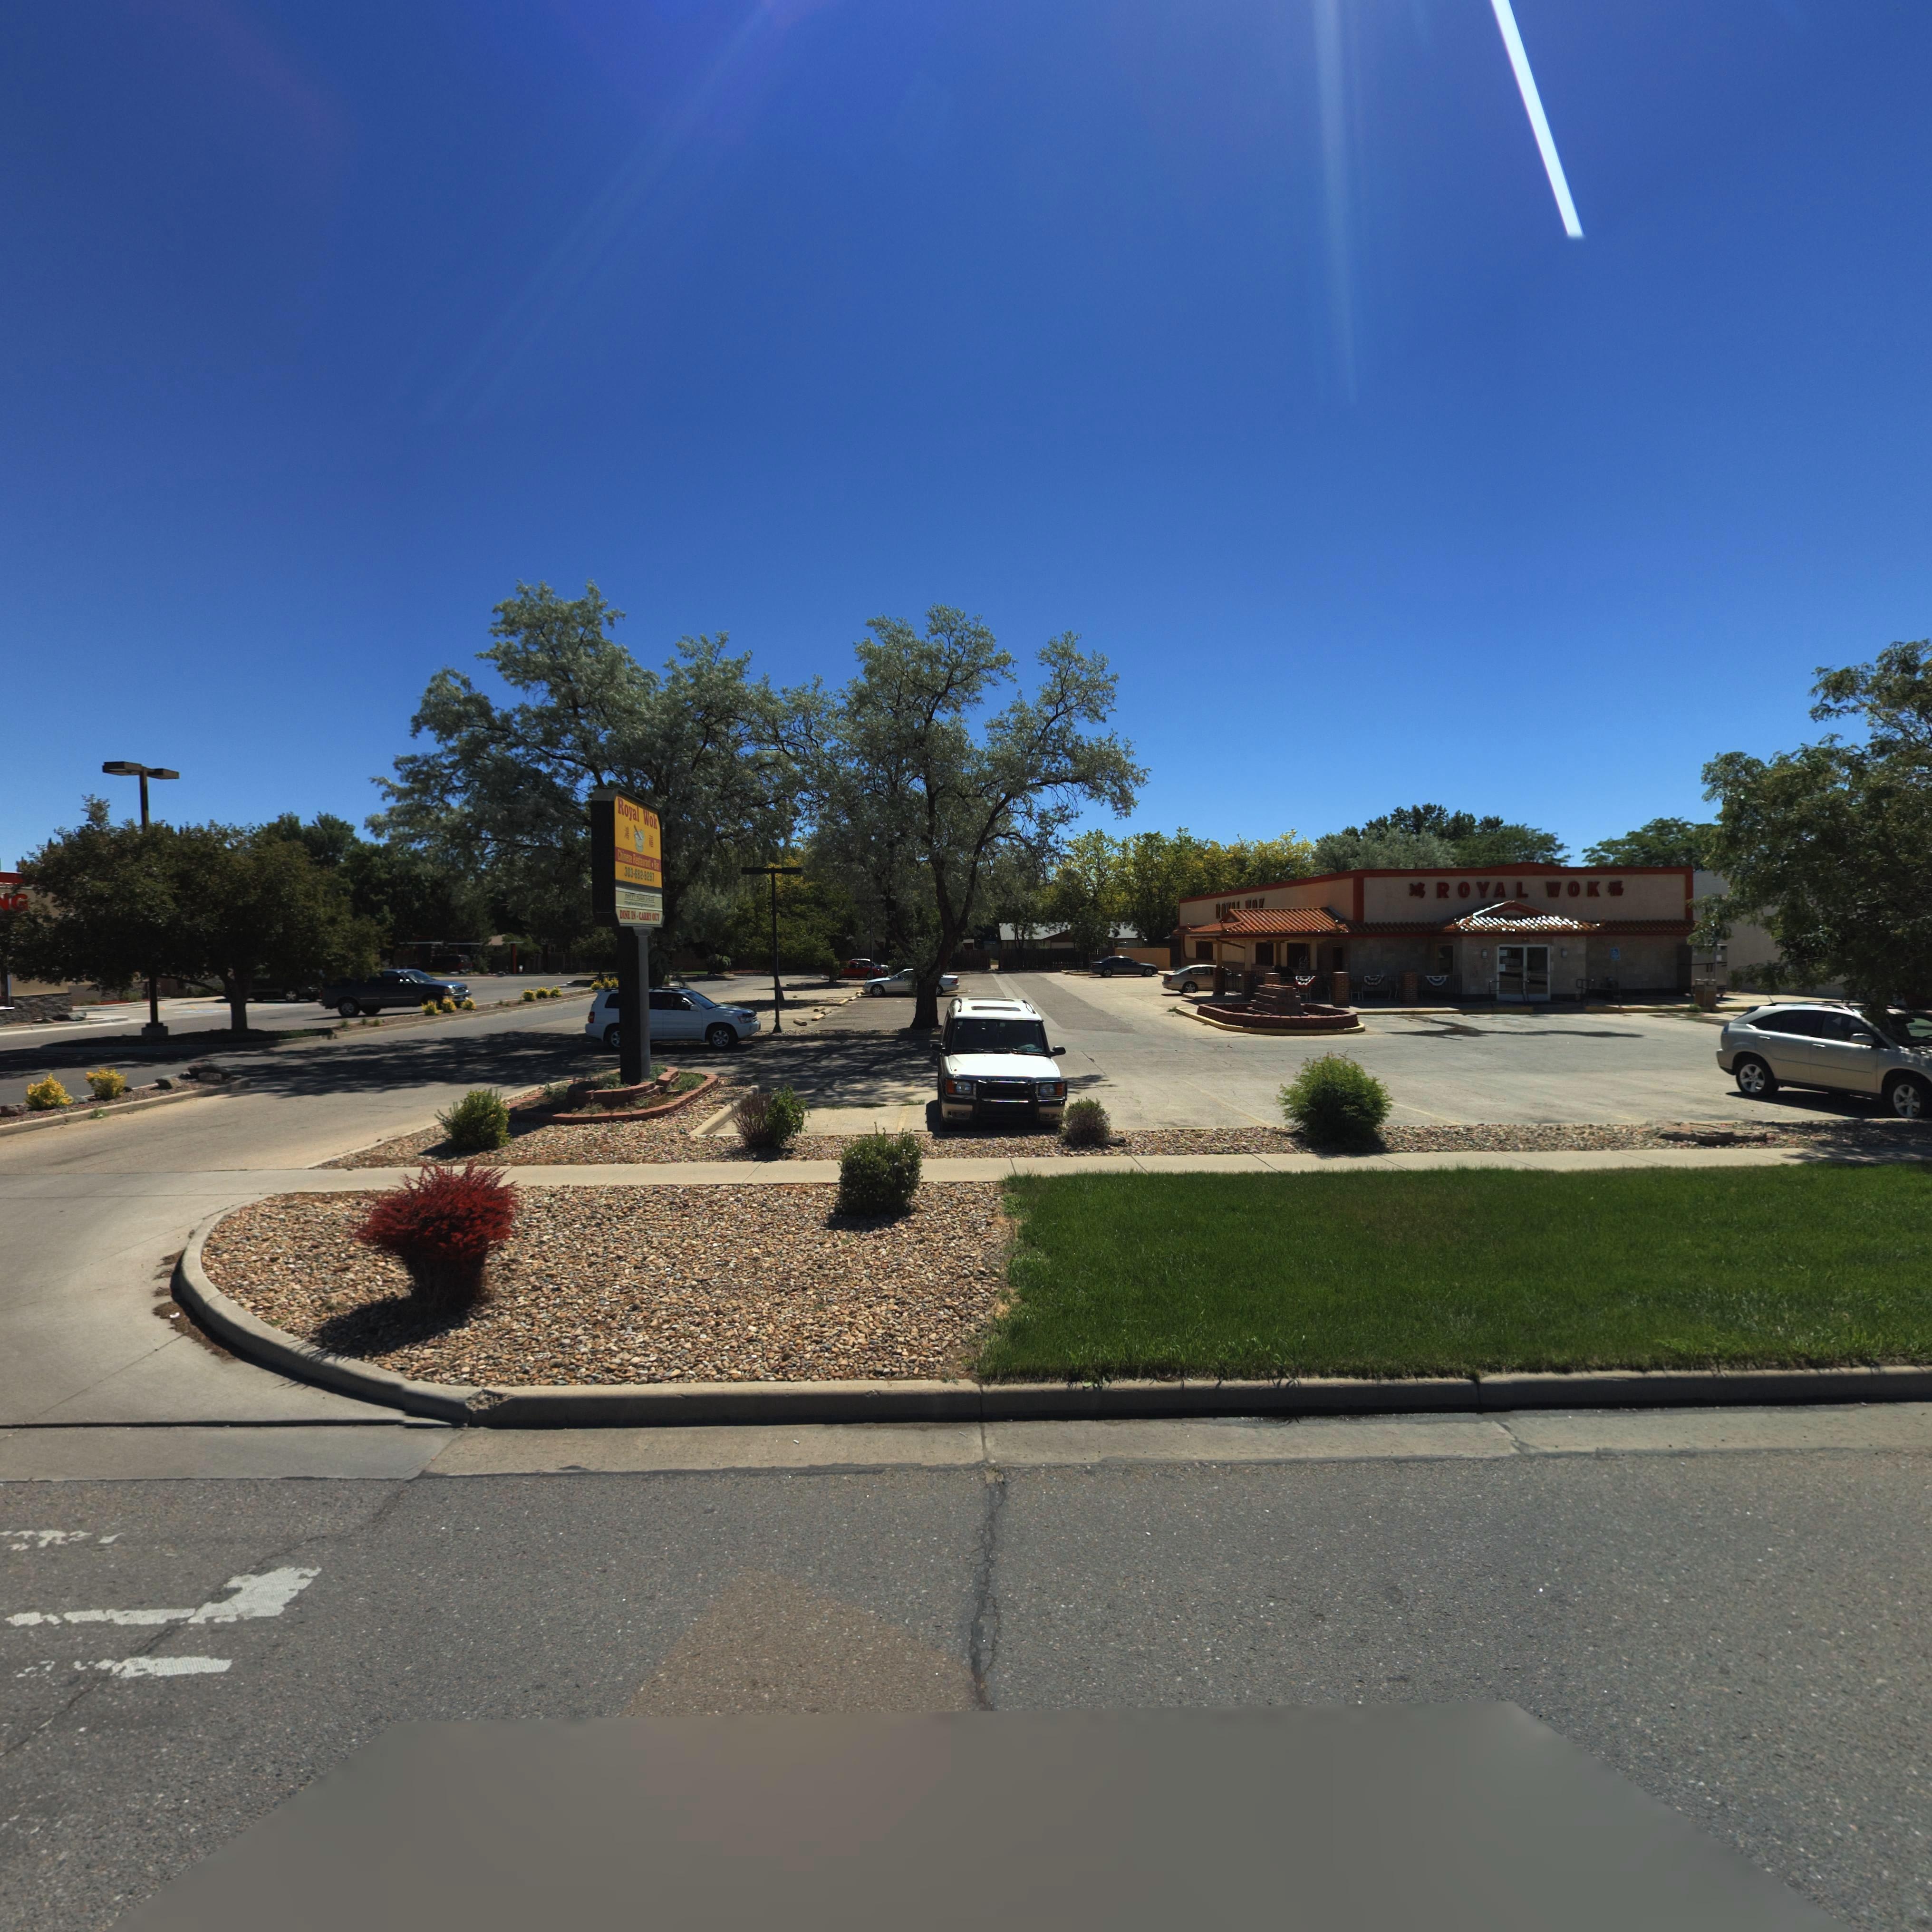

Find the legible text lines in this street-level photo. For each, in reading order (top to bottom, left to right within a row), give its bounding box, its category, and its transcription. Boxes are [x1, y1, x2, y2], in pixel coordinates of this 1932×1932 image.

[617, 795, 657, 830] BusinessName: Royal Wok
[1436, 880, 1601, 898] BusinessName: ROYAL WOK
[1215, 898, 1265, 919] BusinessName: RO*** ***